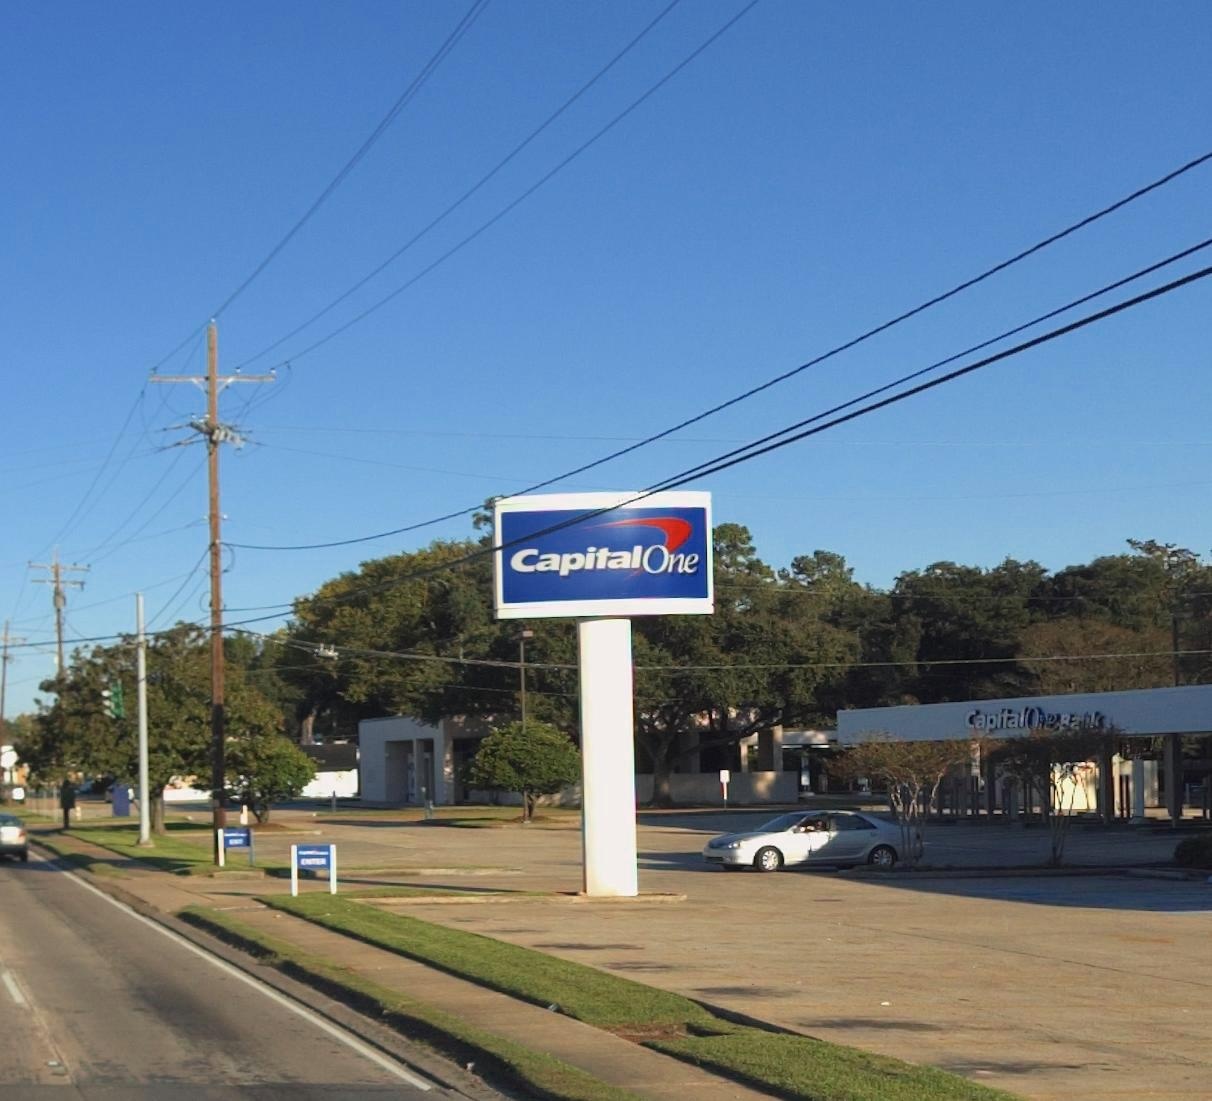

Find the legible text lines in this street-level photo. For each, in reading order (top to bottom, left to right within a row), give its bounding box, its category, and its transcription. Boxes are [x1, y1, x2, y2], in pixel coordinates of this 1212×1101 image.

[509, 544, 701, 575] BusinessName: CapitalOne
[963, 706, 1105, 734] BusinessName: CapitalO*eBa**